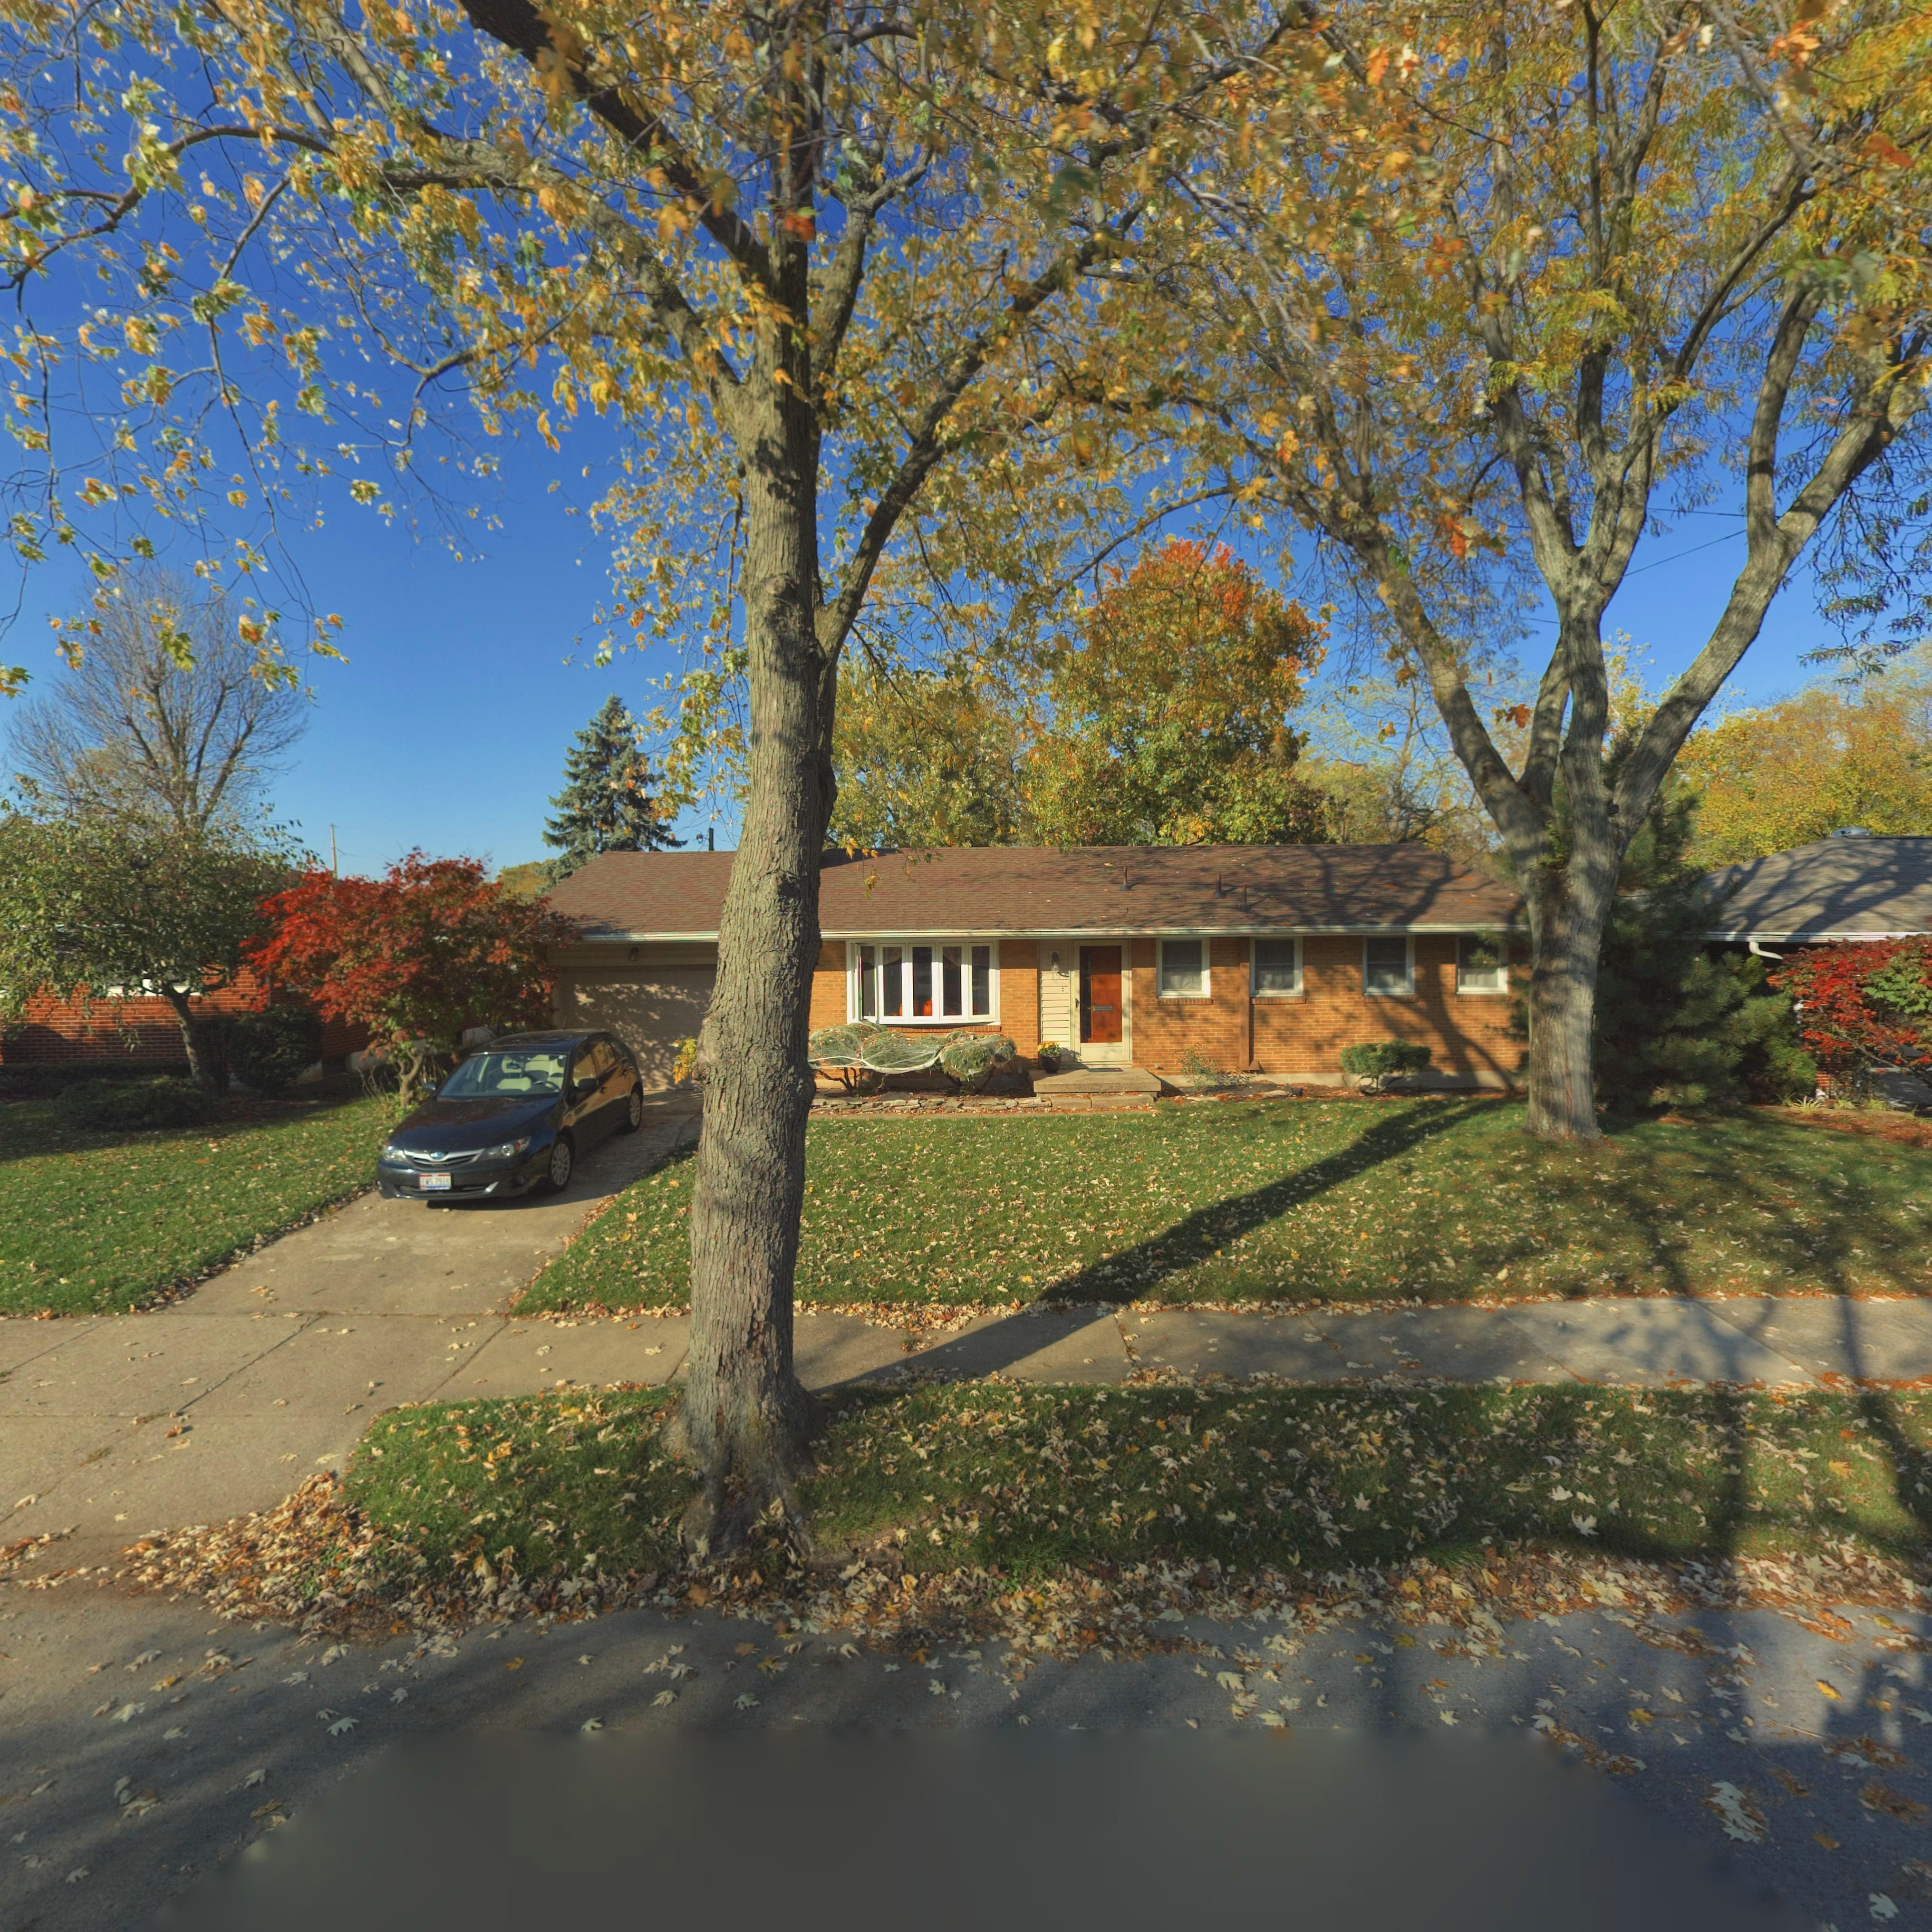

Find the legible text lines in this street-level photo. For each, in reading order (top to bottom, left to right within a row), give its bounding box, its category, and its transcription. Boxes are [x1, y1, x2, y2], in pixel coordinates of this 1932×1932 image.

[1052, 972, 1061, 980] StreetNumber: 1*